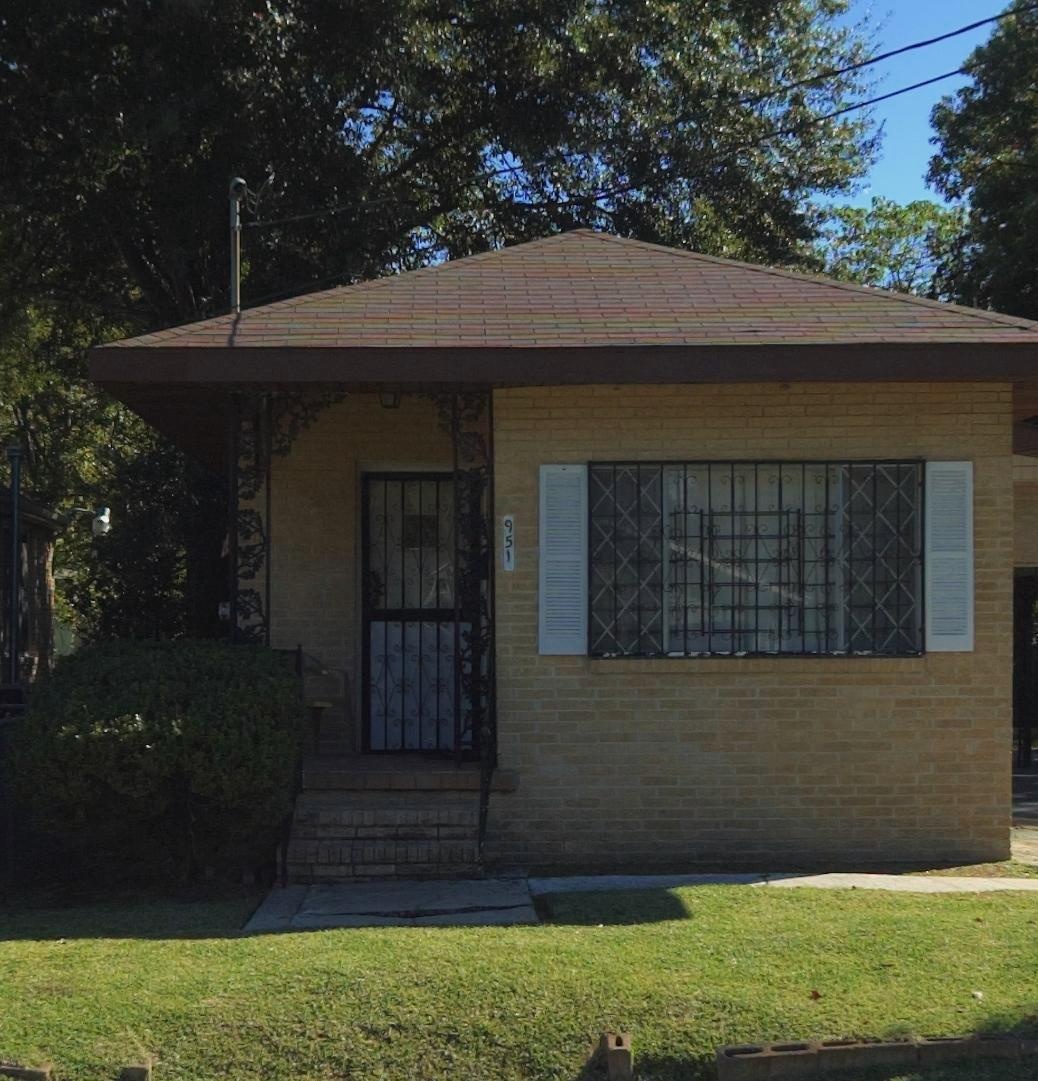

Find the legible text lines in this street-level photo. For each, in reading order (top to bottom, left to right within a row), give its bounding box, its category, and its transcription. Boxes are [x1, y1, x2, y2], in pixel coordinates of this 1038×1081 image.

[503, 517, 515, 565] StreetNumber: 951